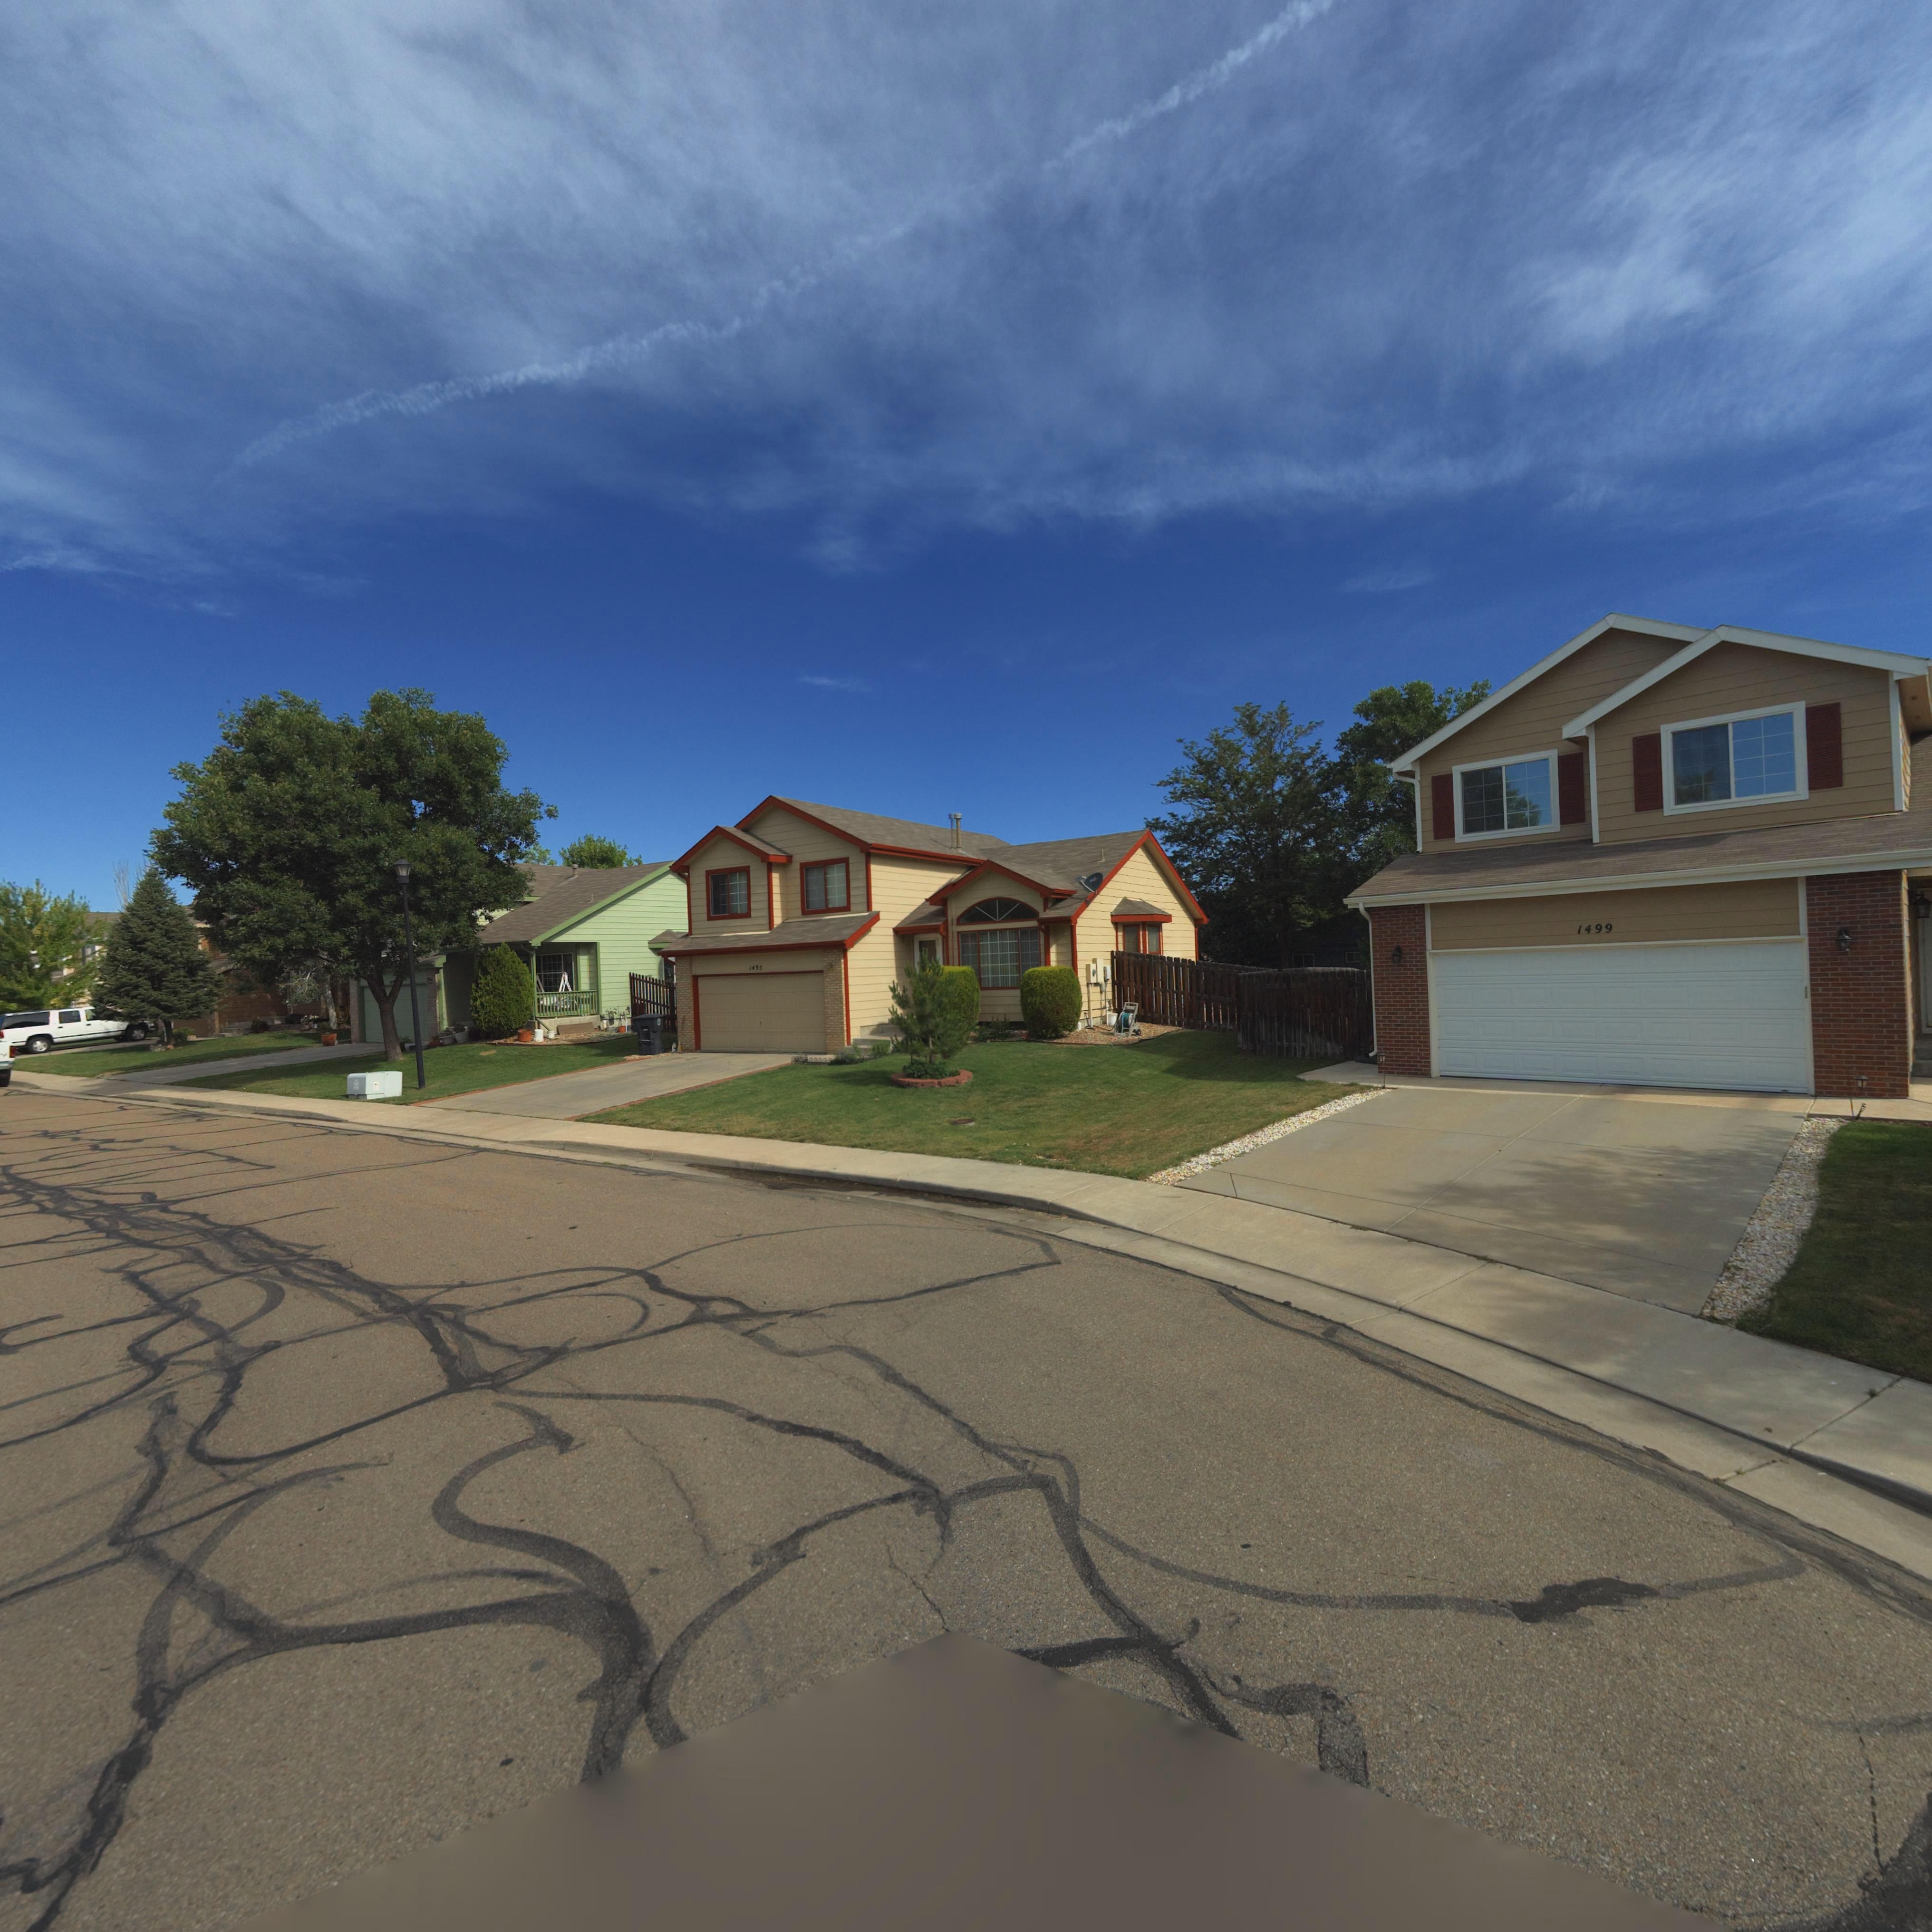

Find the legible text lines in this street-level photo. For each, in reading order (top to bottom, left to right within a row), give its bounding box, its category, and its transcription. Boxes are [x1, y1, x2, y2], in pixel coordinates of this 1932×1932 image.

[1575, 922, 1613, 935] StreetNumber: 1499
[748, 965, 762, 971] StreetNumber: 1495
[388, 979, 396, 984] StreetNumber: 14*